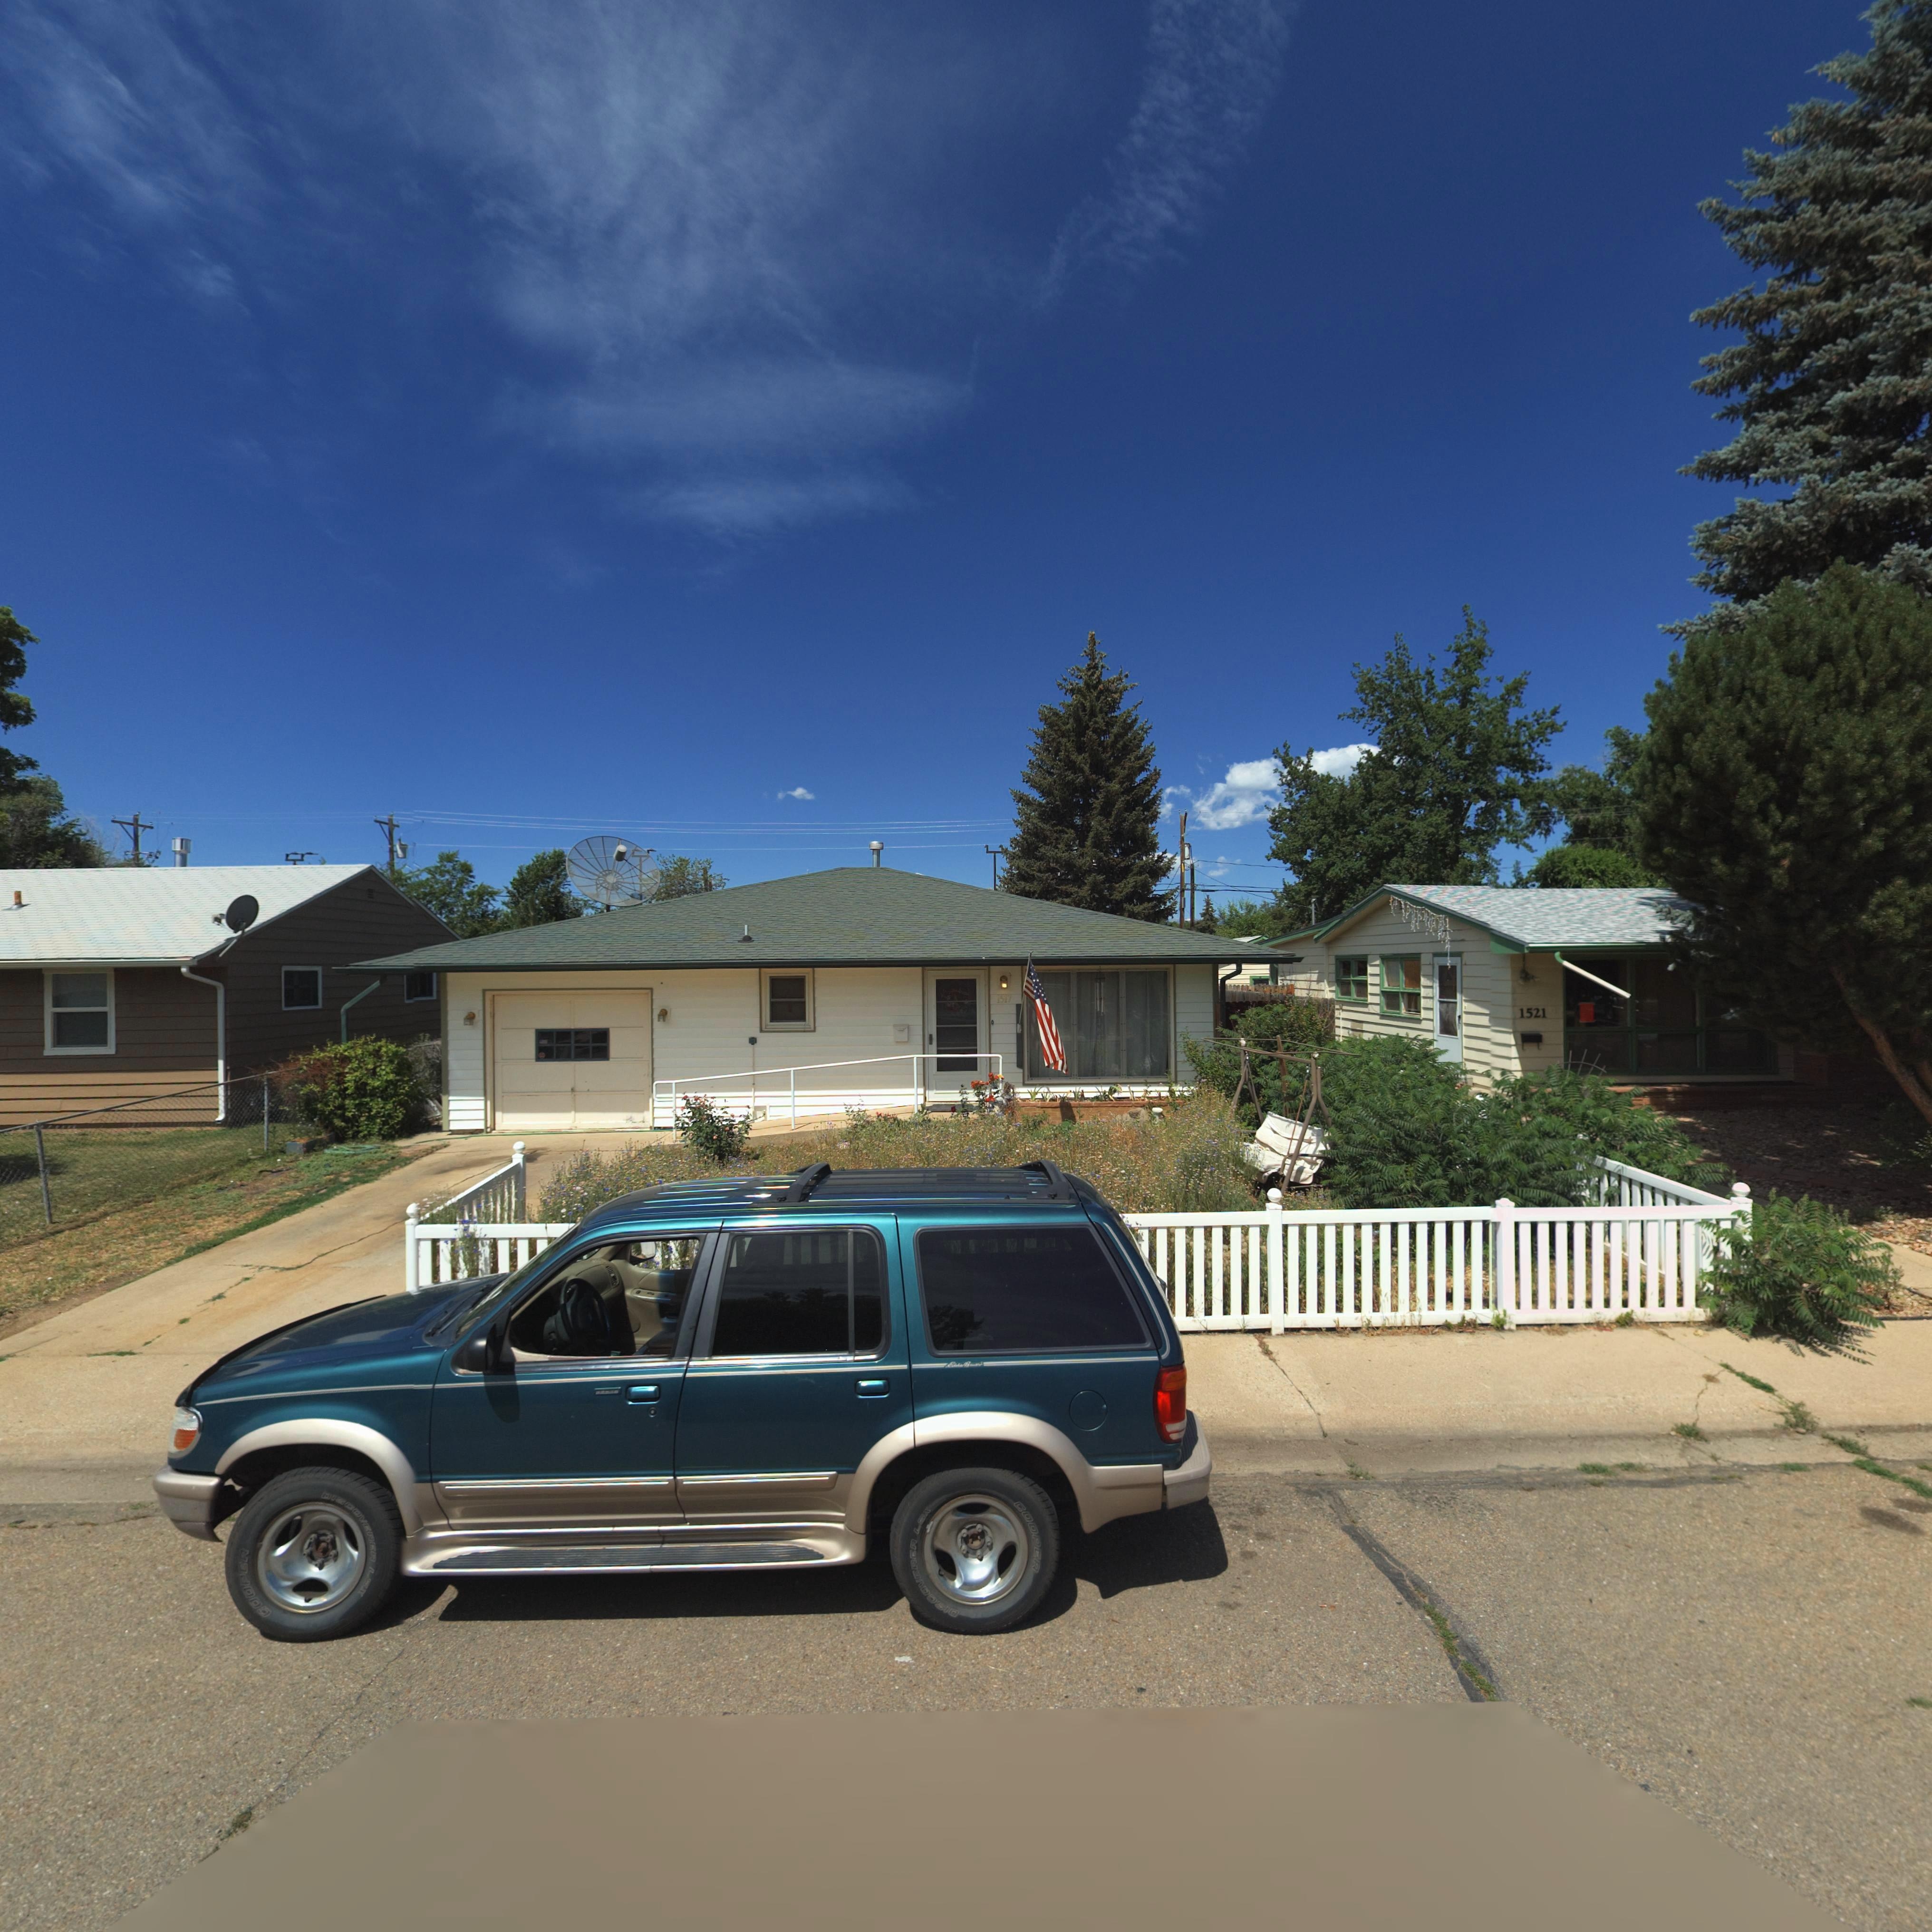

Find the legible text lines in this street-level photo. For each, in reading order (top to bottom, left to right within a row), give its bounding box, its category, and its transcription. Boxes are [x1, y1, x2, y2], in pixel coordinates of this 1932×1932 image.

[996, 994, 1013, 1003] StreetNumber: 1517
[1517, 1006, 1548, 1019] StreetNumber: 1521